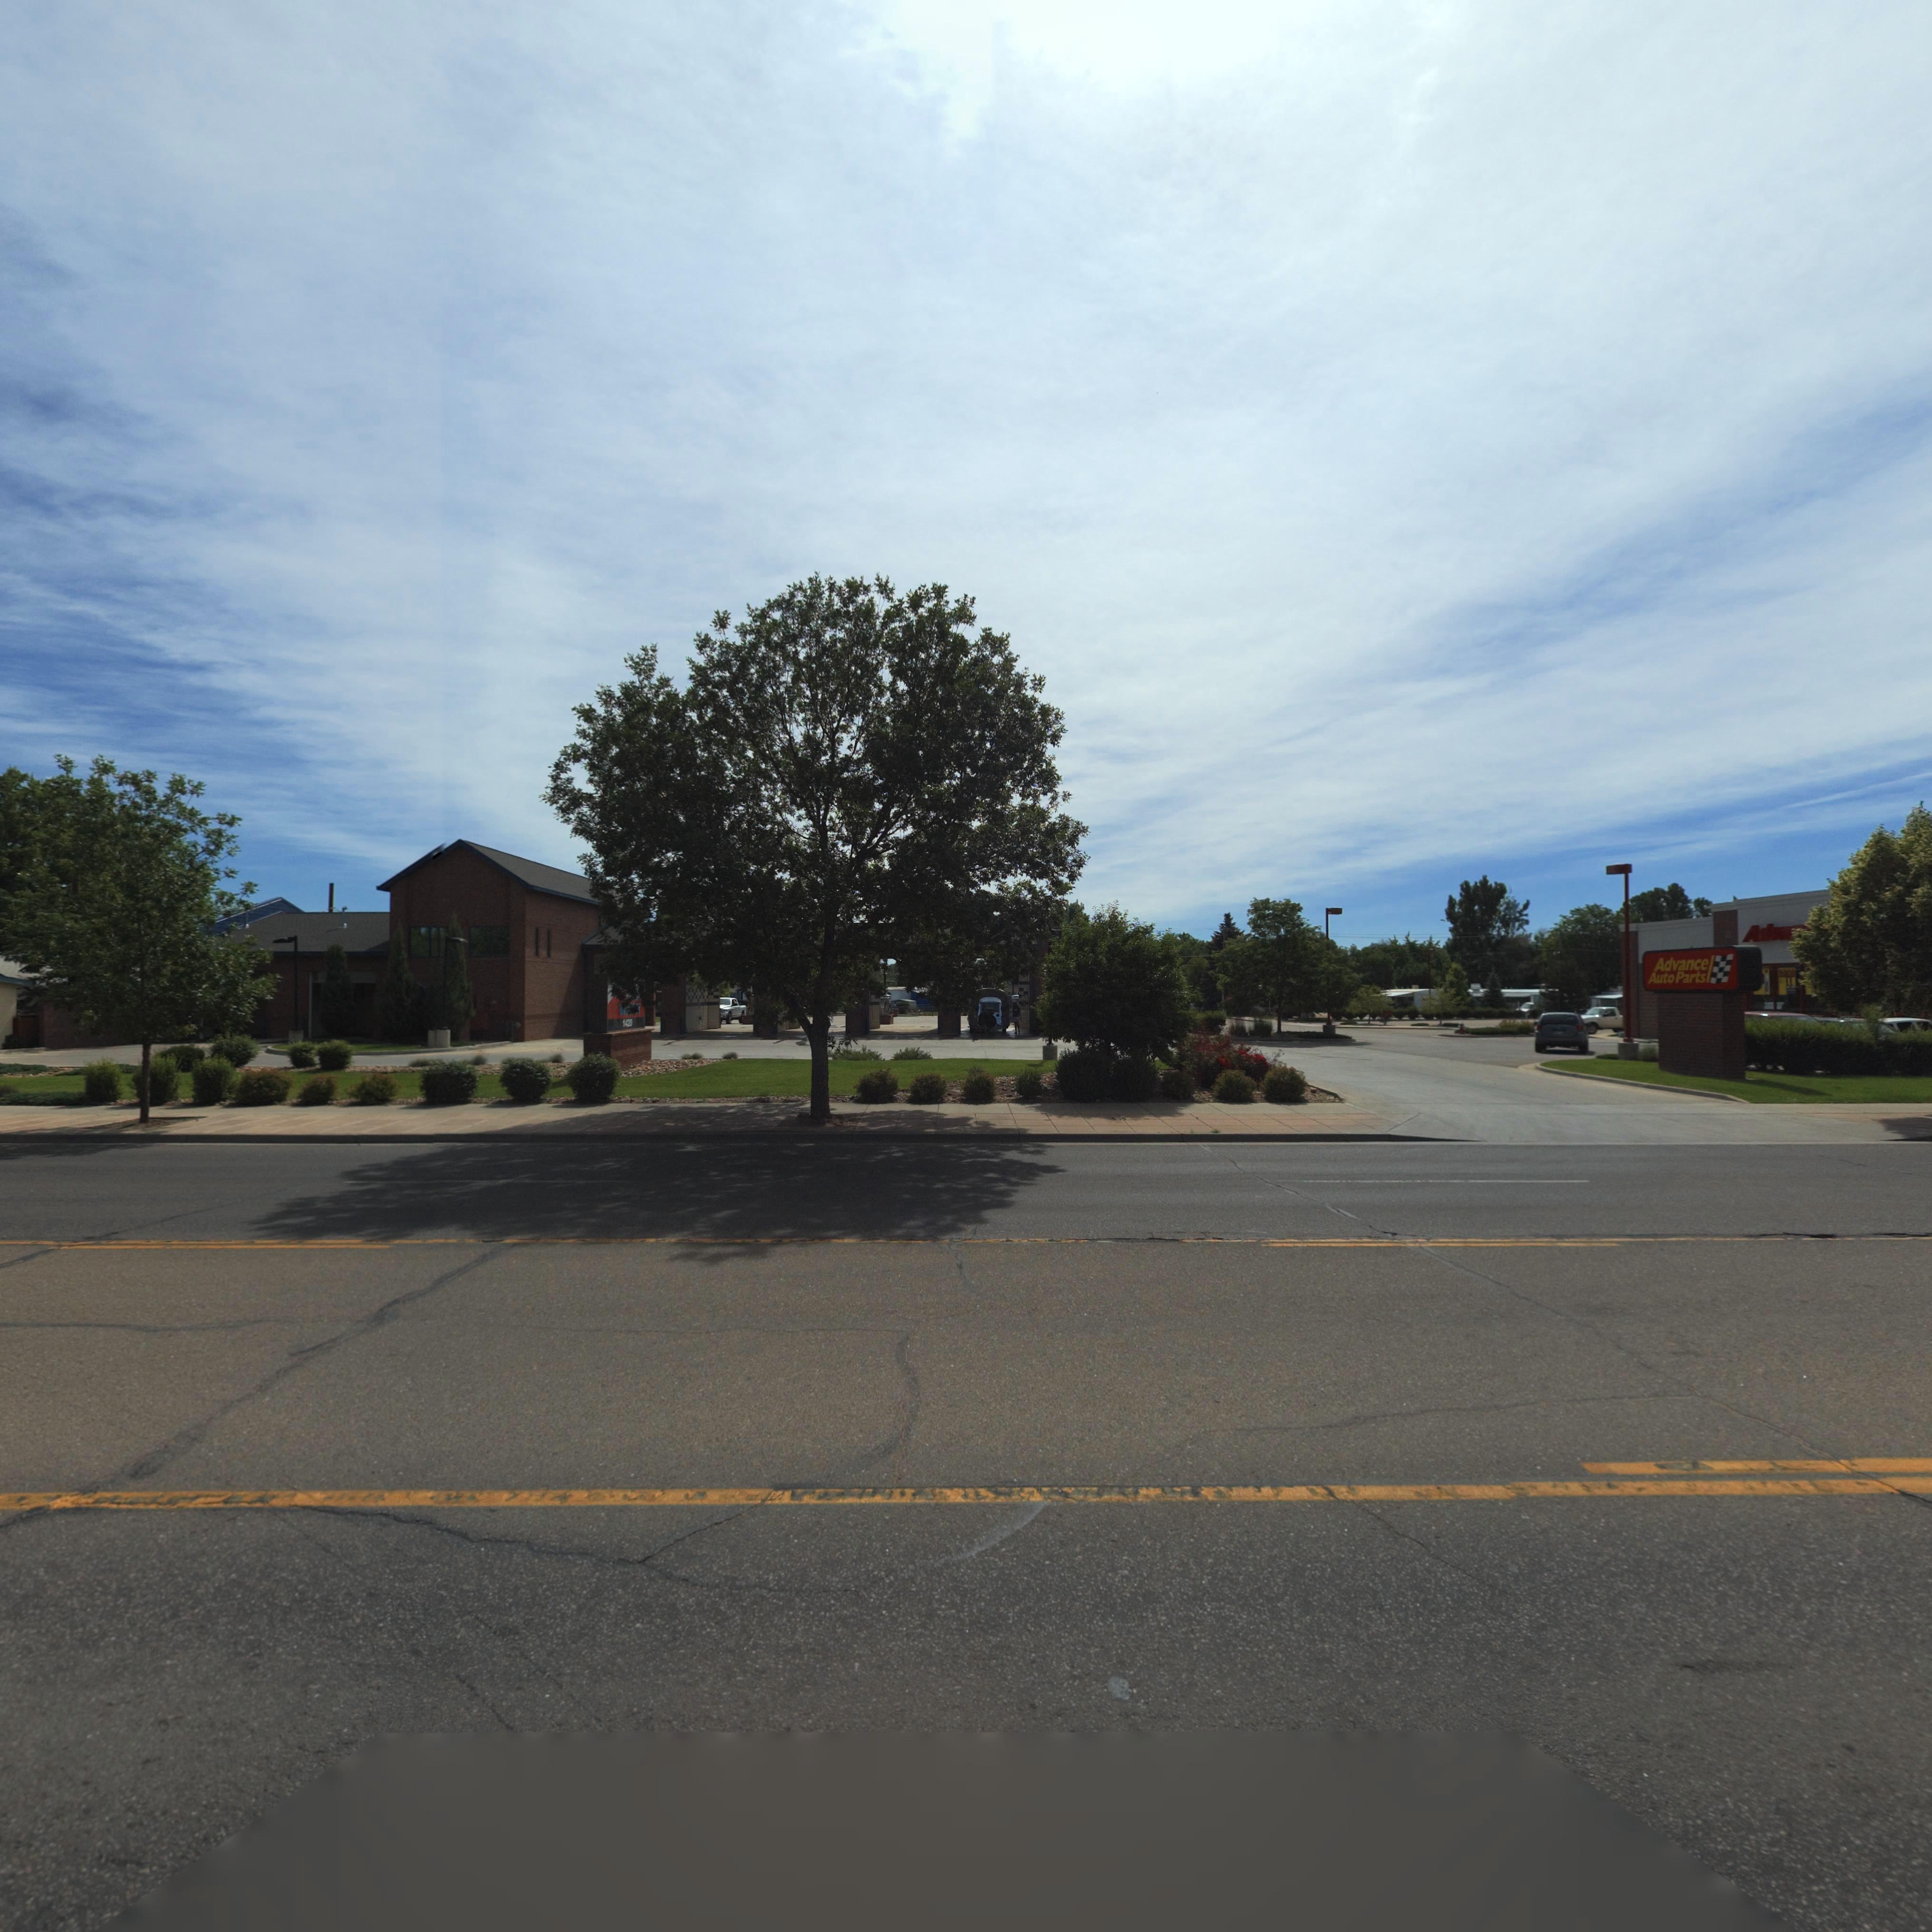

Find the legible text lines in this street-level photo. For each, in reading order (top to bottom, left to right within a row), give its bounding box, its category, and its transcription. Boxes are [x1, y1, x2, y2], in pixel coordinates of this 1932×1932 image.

[1740, 922, 1792, 943] BusinessName: Adva
[1652, 956, 1710, 971] BusinessName: Advance
[1647, 970, 1707, 984] BusinessName: Auto Parts
[621, 1018, 633, 1027] StreetNumber: 1420